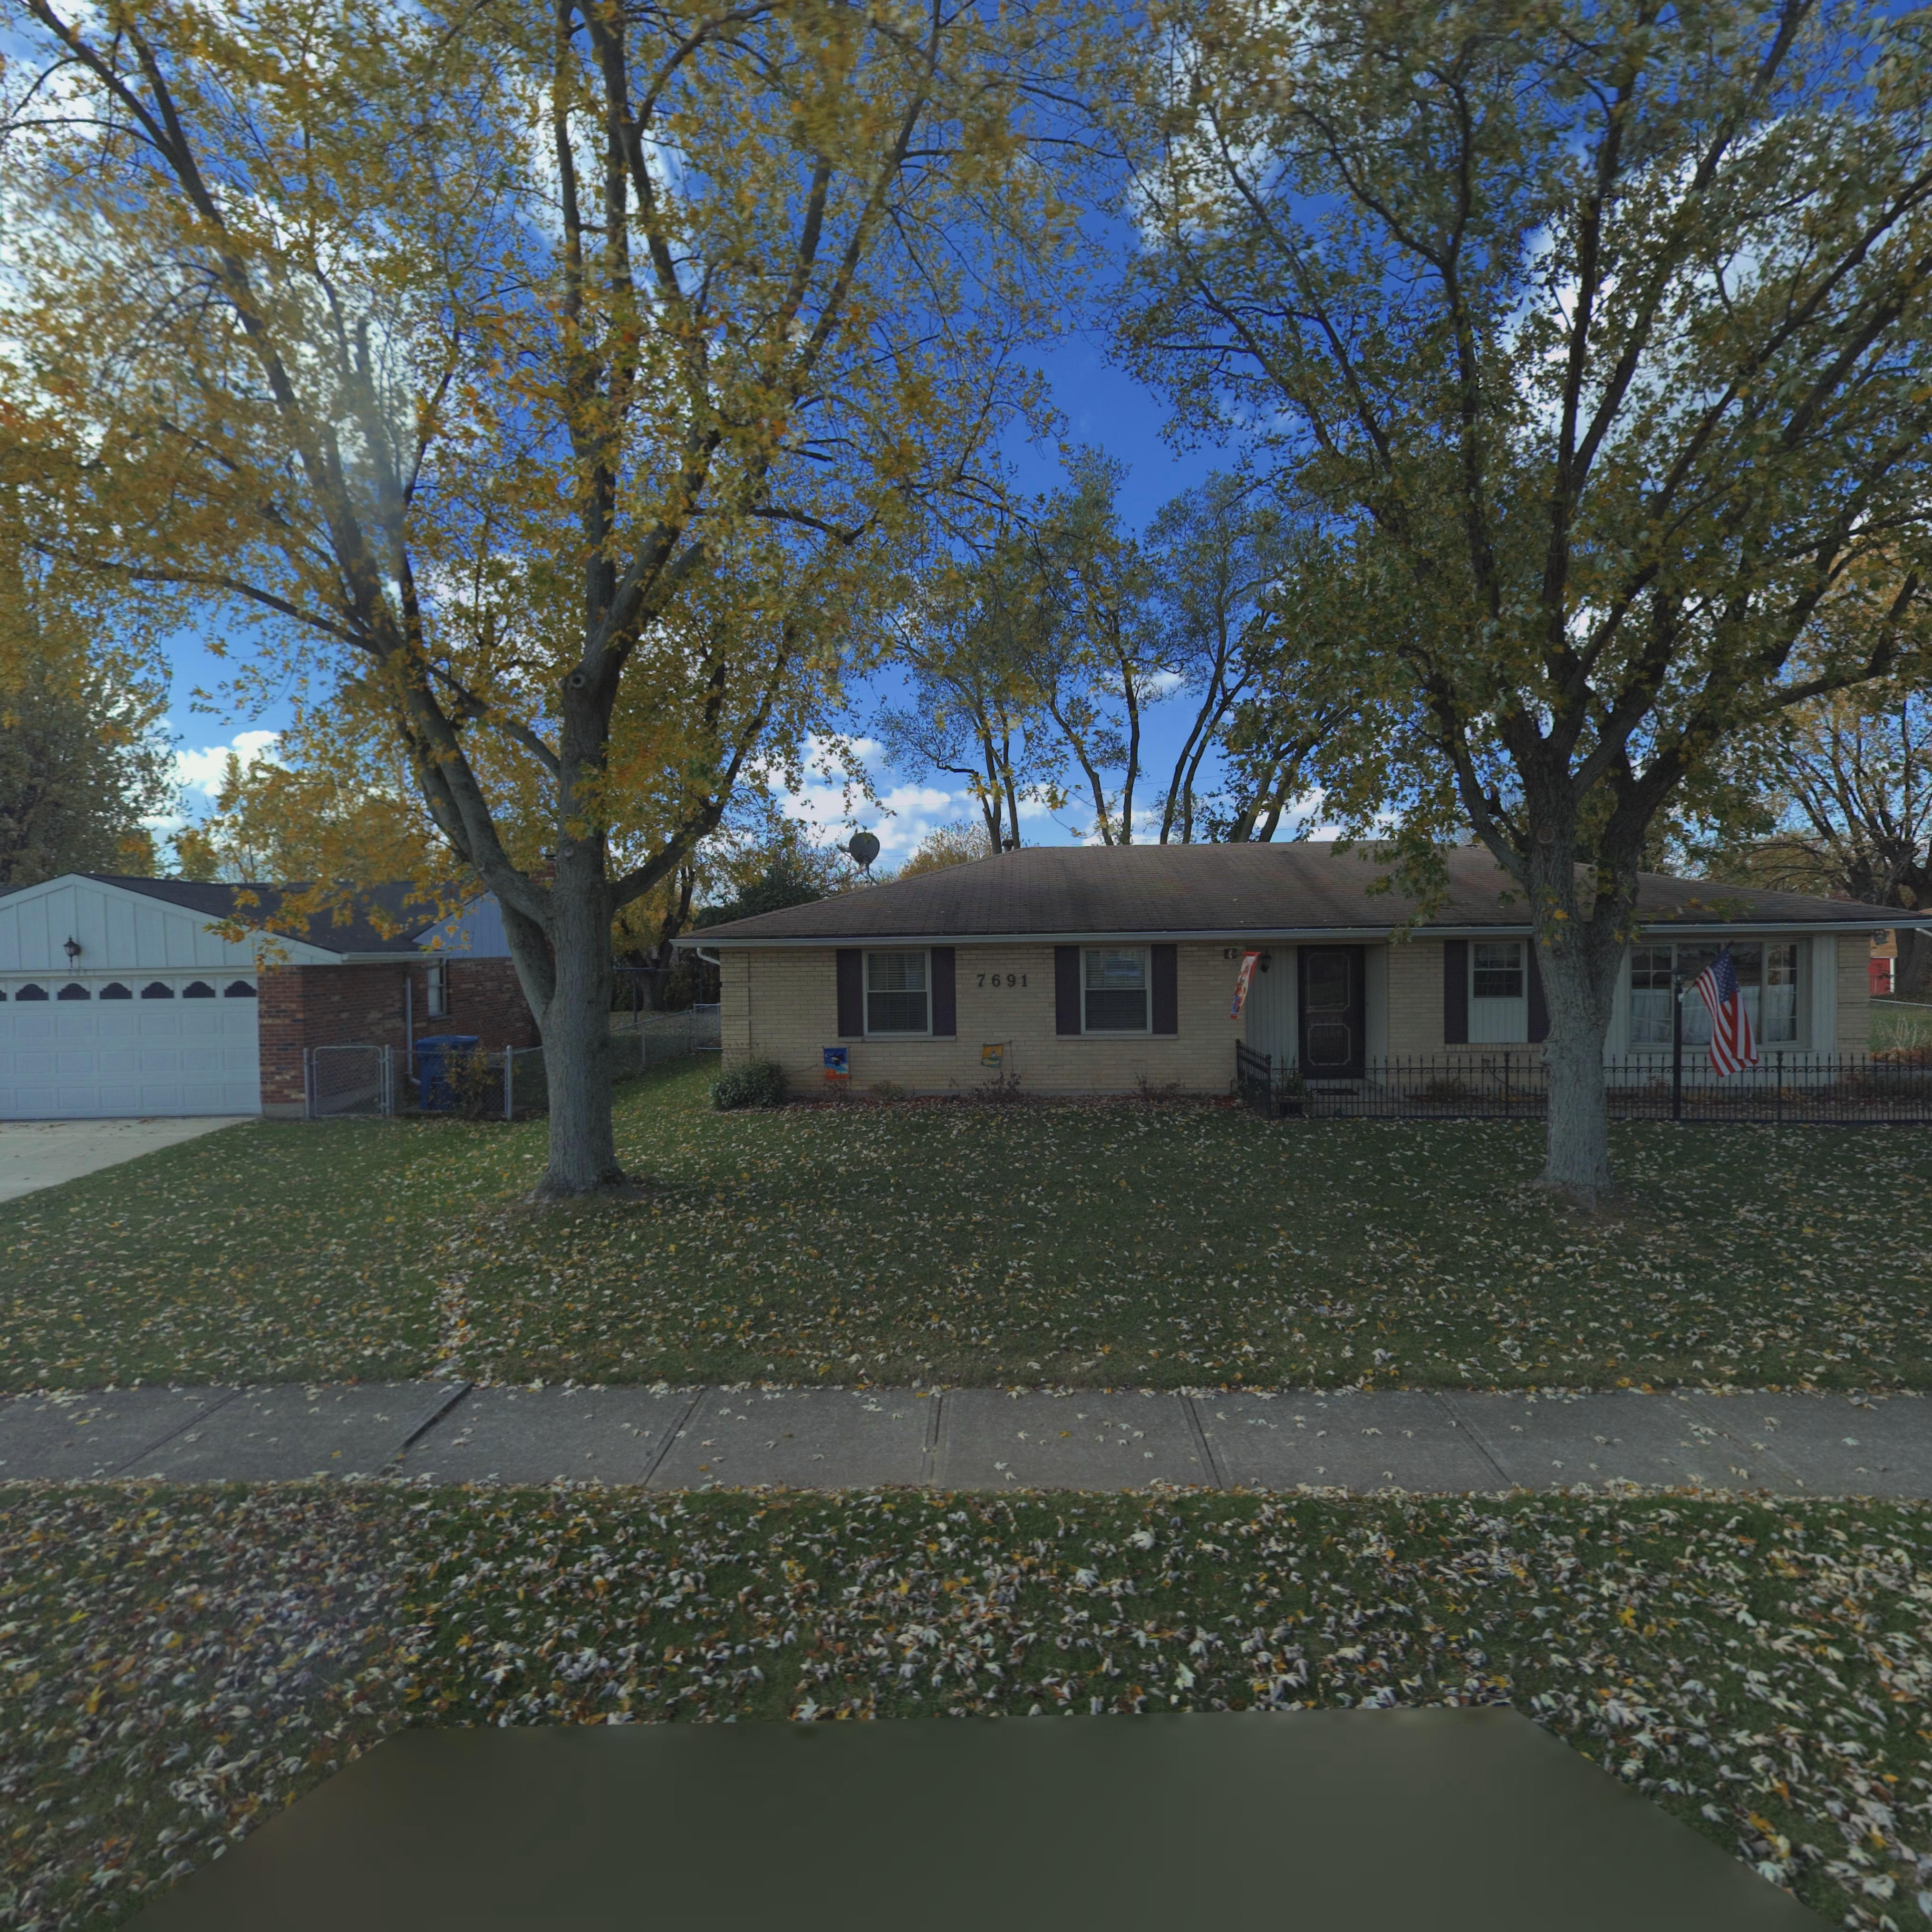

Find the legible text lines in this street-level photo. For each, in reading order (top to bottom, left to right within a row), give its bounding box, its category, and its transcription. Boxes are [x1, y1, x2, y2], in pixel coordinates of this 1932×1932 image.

[66, 968, 97, 976] StreetNumber: 7681
[976, 972, 1028, 988] StreetNumber: 7691